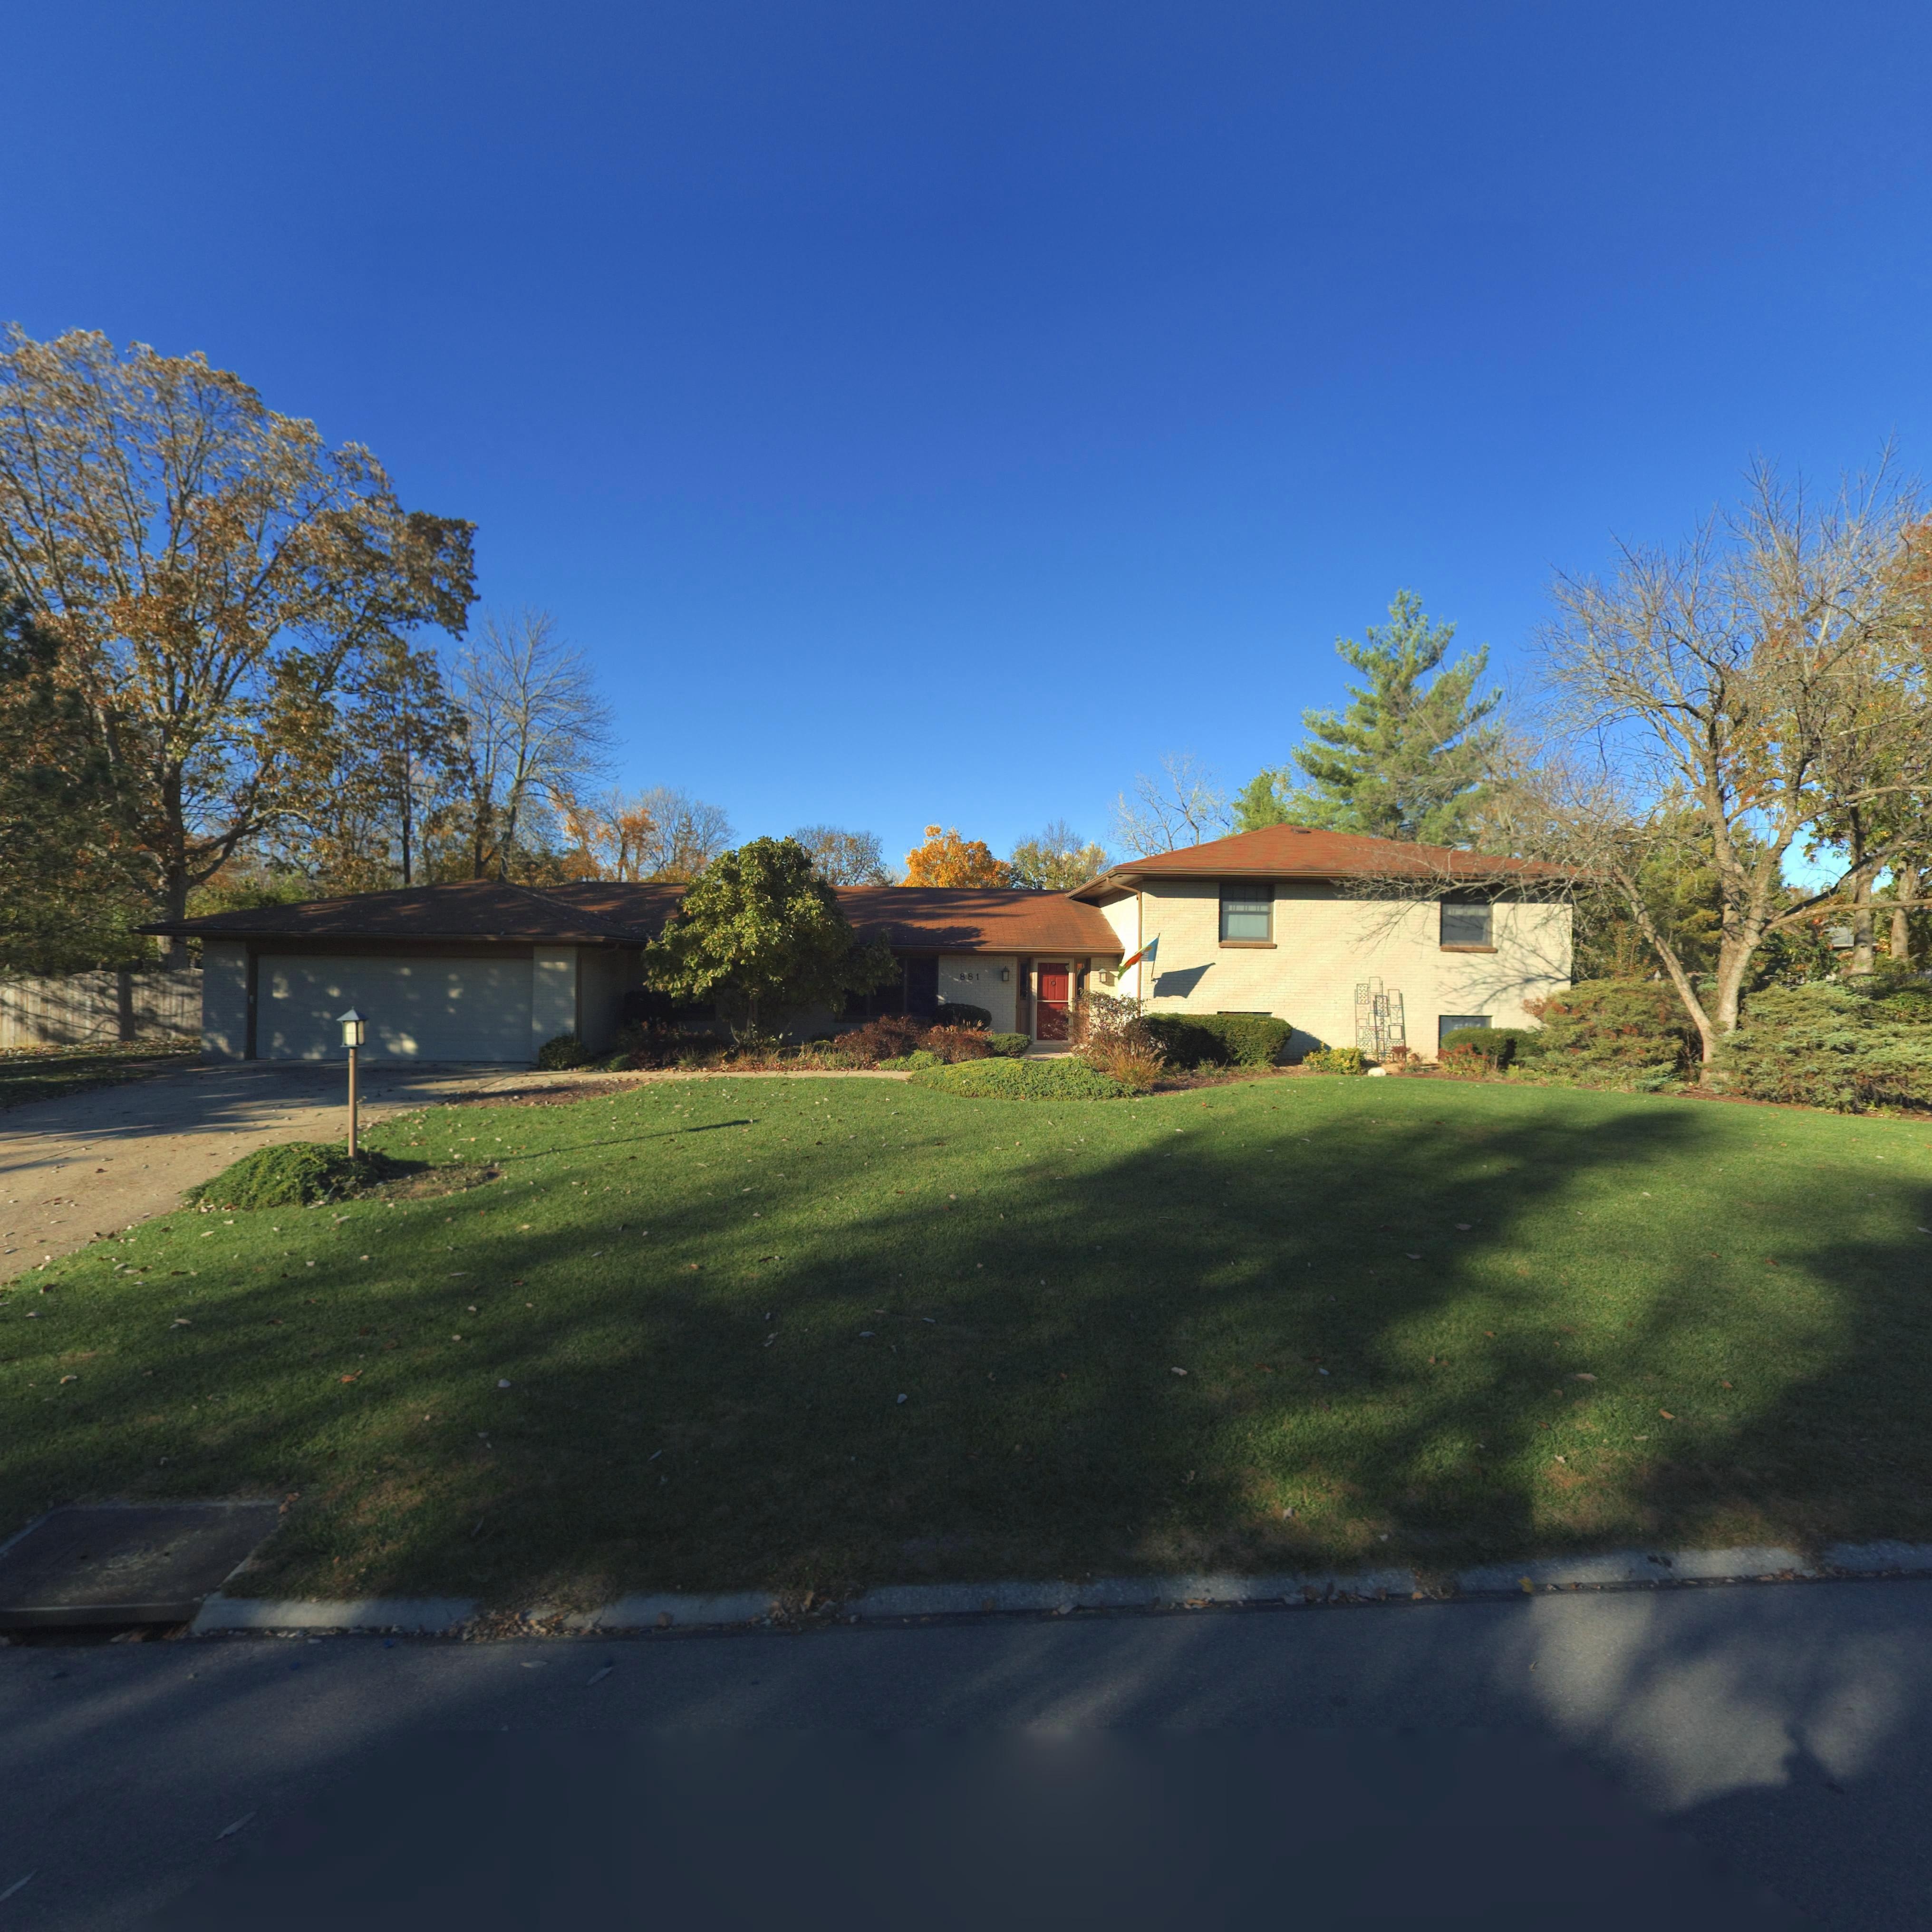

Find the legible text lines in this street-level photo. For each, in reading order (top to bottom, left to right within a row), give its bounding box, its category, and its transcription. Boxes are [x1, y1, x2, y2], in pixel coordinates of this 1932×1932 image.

[959, 972, 979, 981] StreetNumber: 881